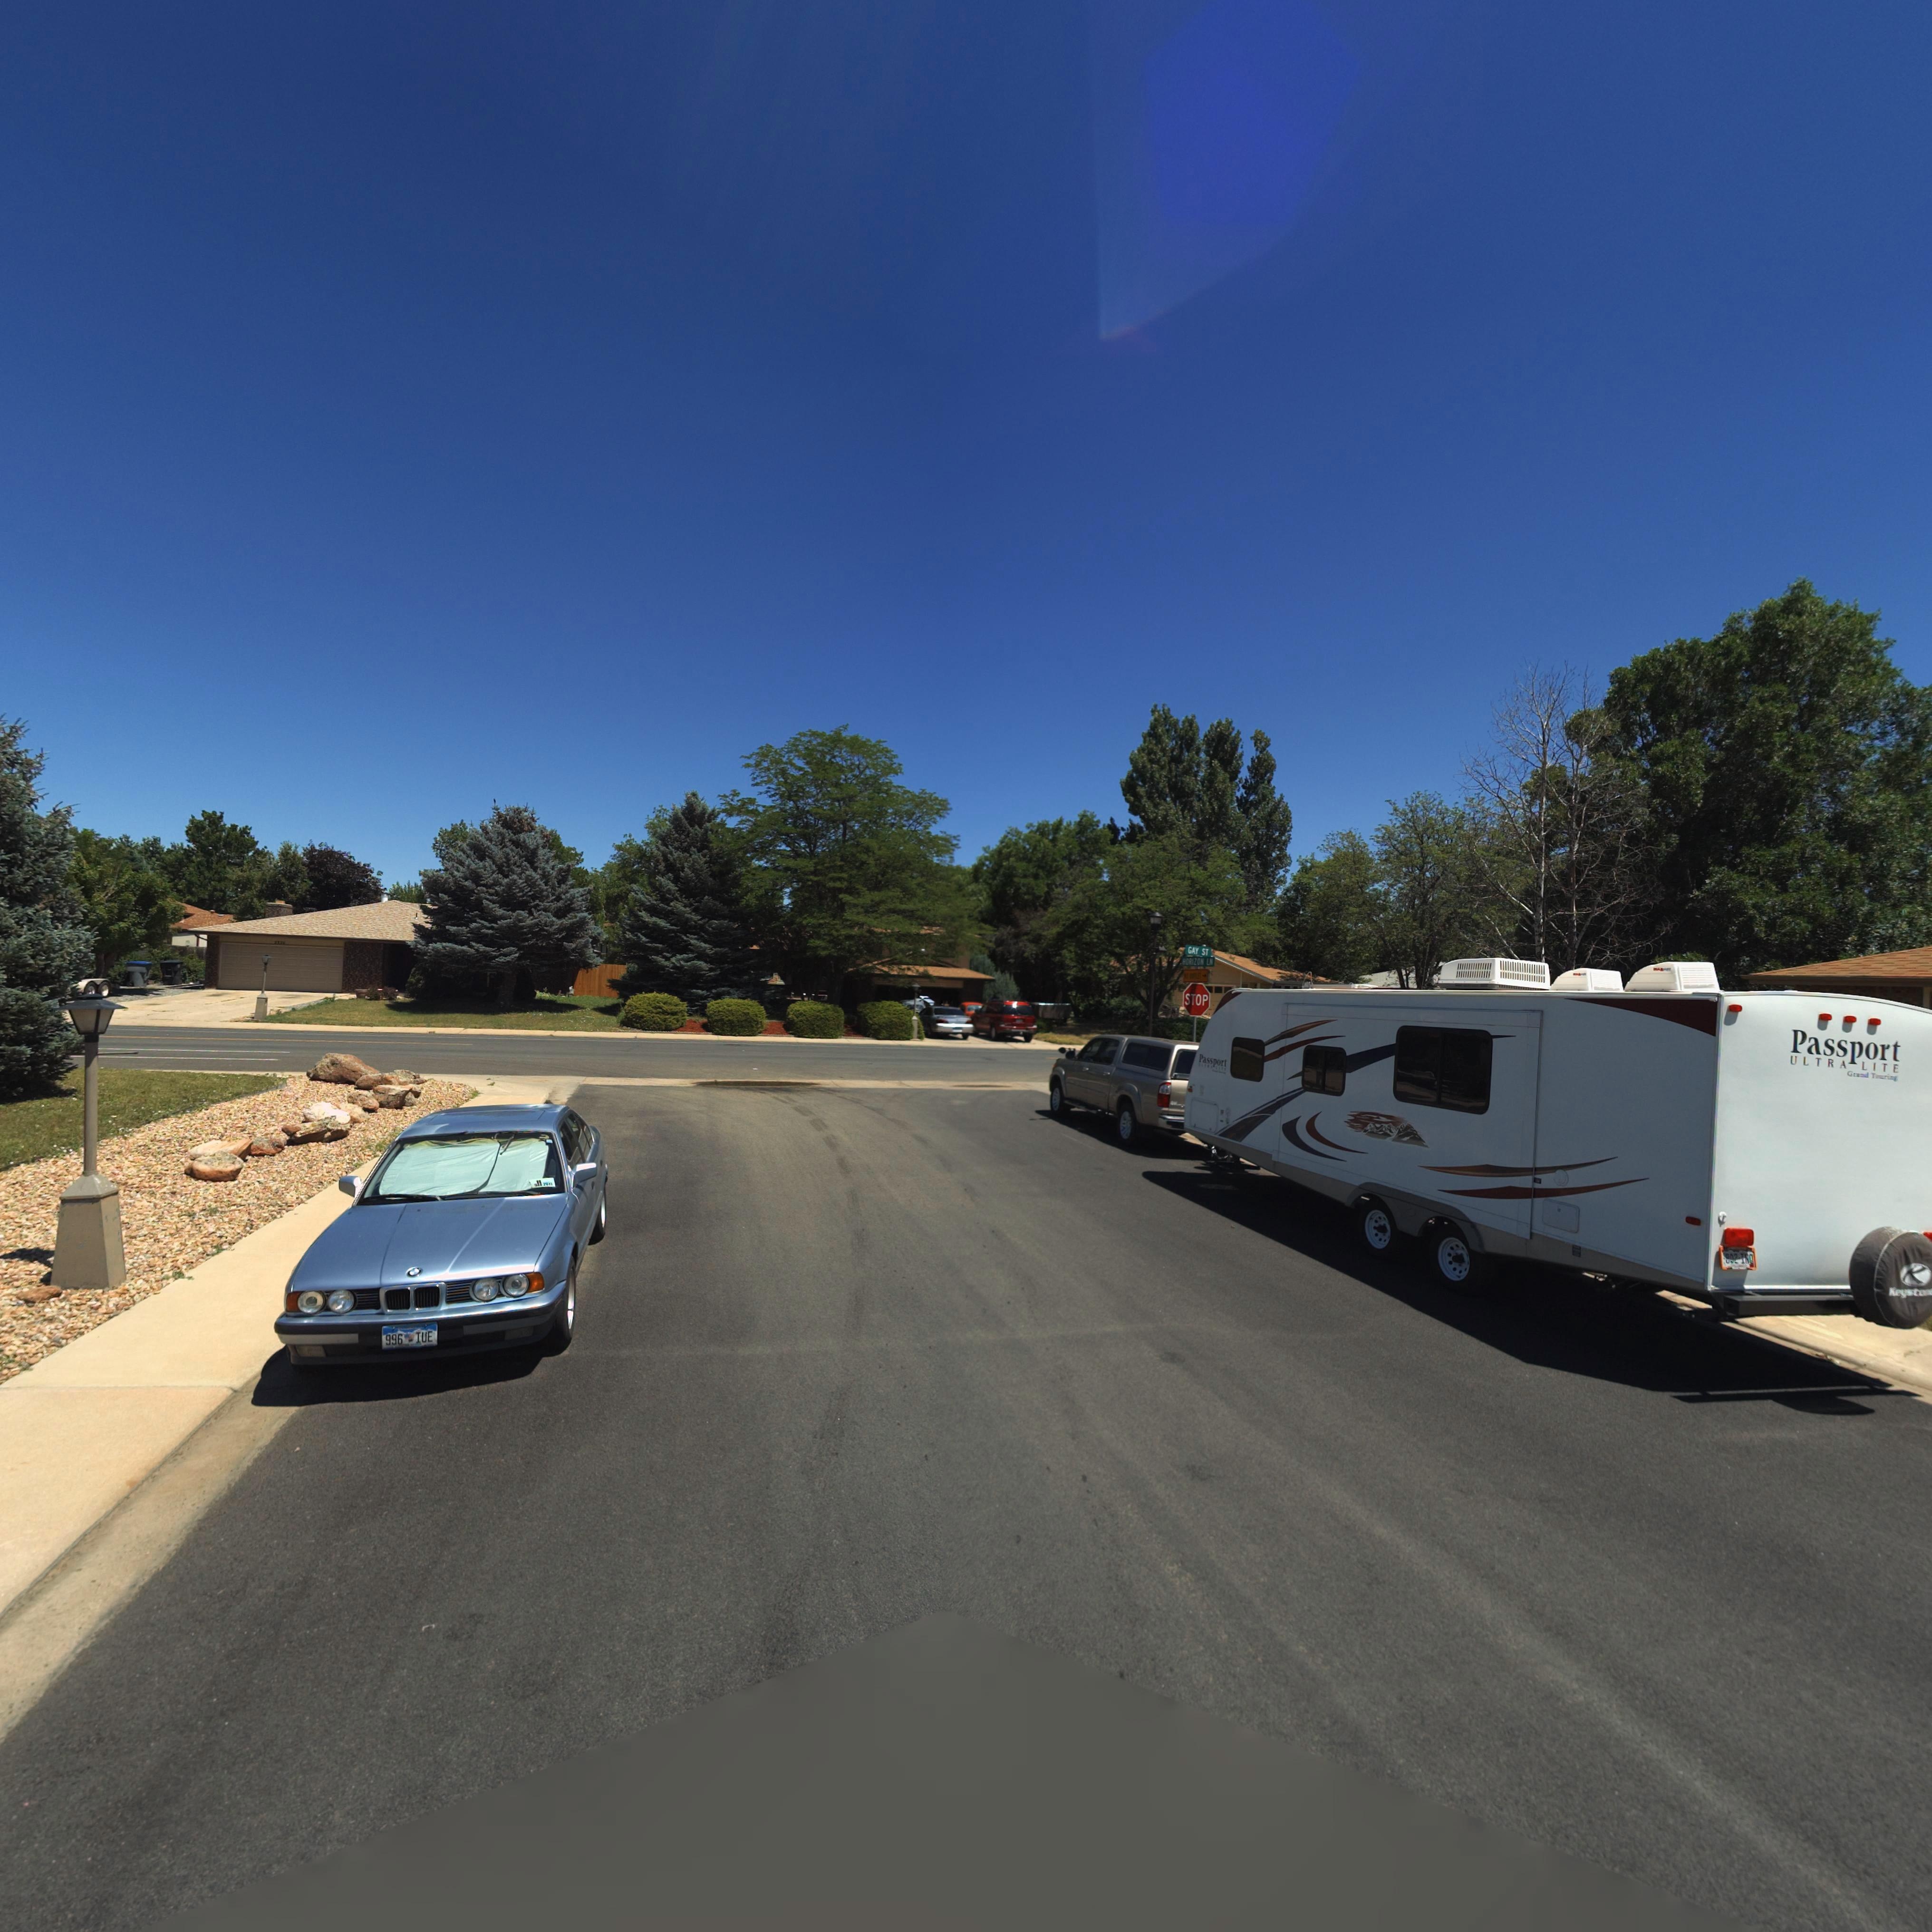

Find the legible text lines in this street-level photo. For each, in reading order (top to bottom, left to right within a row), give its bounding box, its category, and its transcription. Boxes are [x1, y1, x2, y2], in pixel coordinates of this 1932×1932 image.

[273, 940, 286, 945] StreetNumber: 2***
[1188, 946, 1209, 956] StreetName: GAY ST
[1182, 957, 1213, 966] StreetName: HORIZON LN